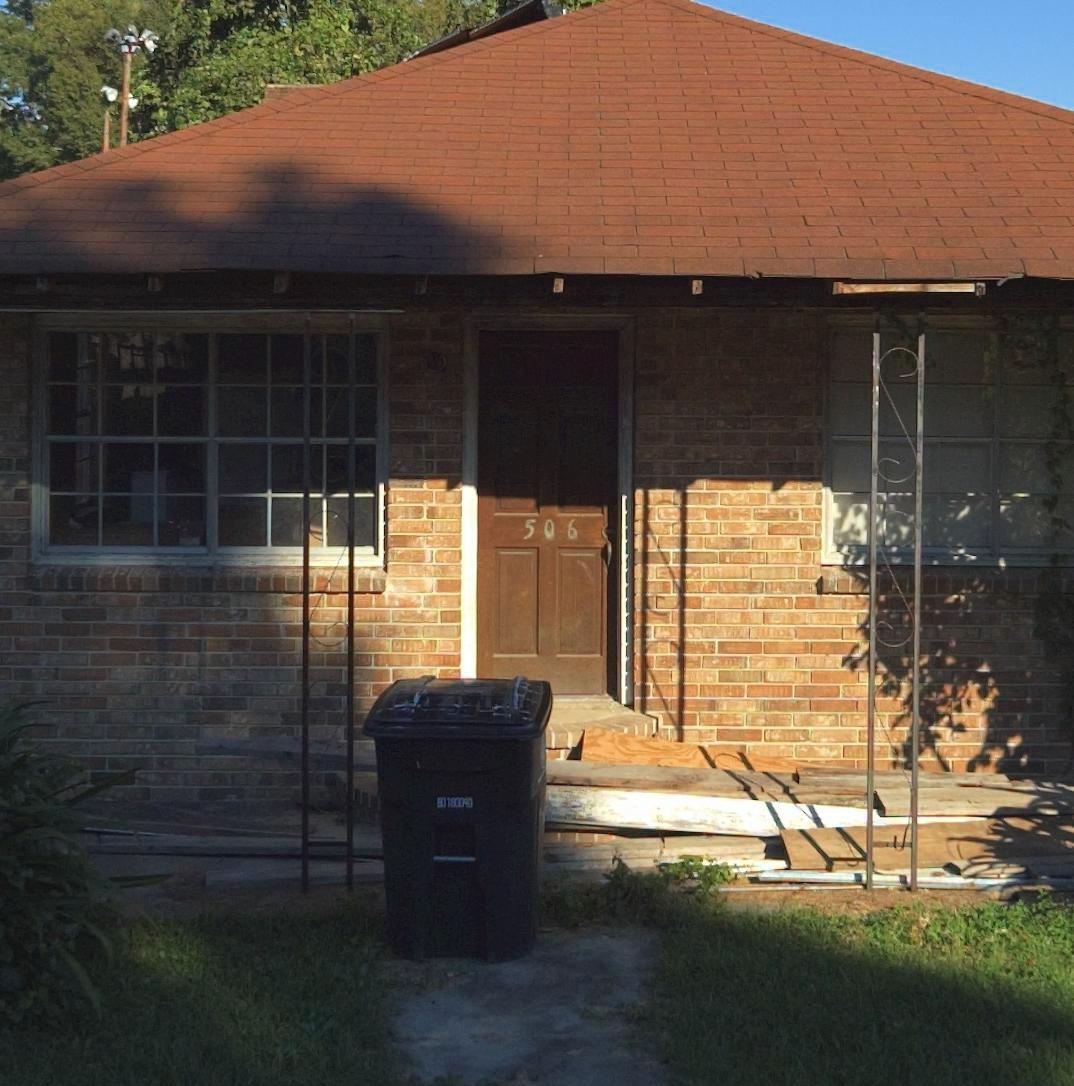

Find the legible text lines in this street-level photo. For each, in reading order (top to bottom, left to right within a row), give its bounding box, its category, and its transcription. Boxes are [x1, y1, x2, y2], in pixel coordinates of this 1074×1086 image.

[521, 516, 581, 542] StreetNumber: 506
[435, 793, 478, 812] None: 901900**